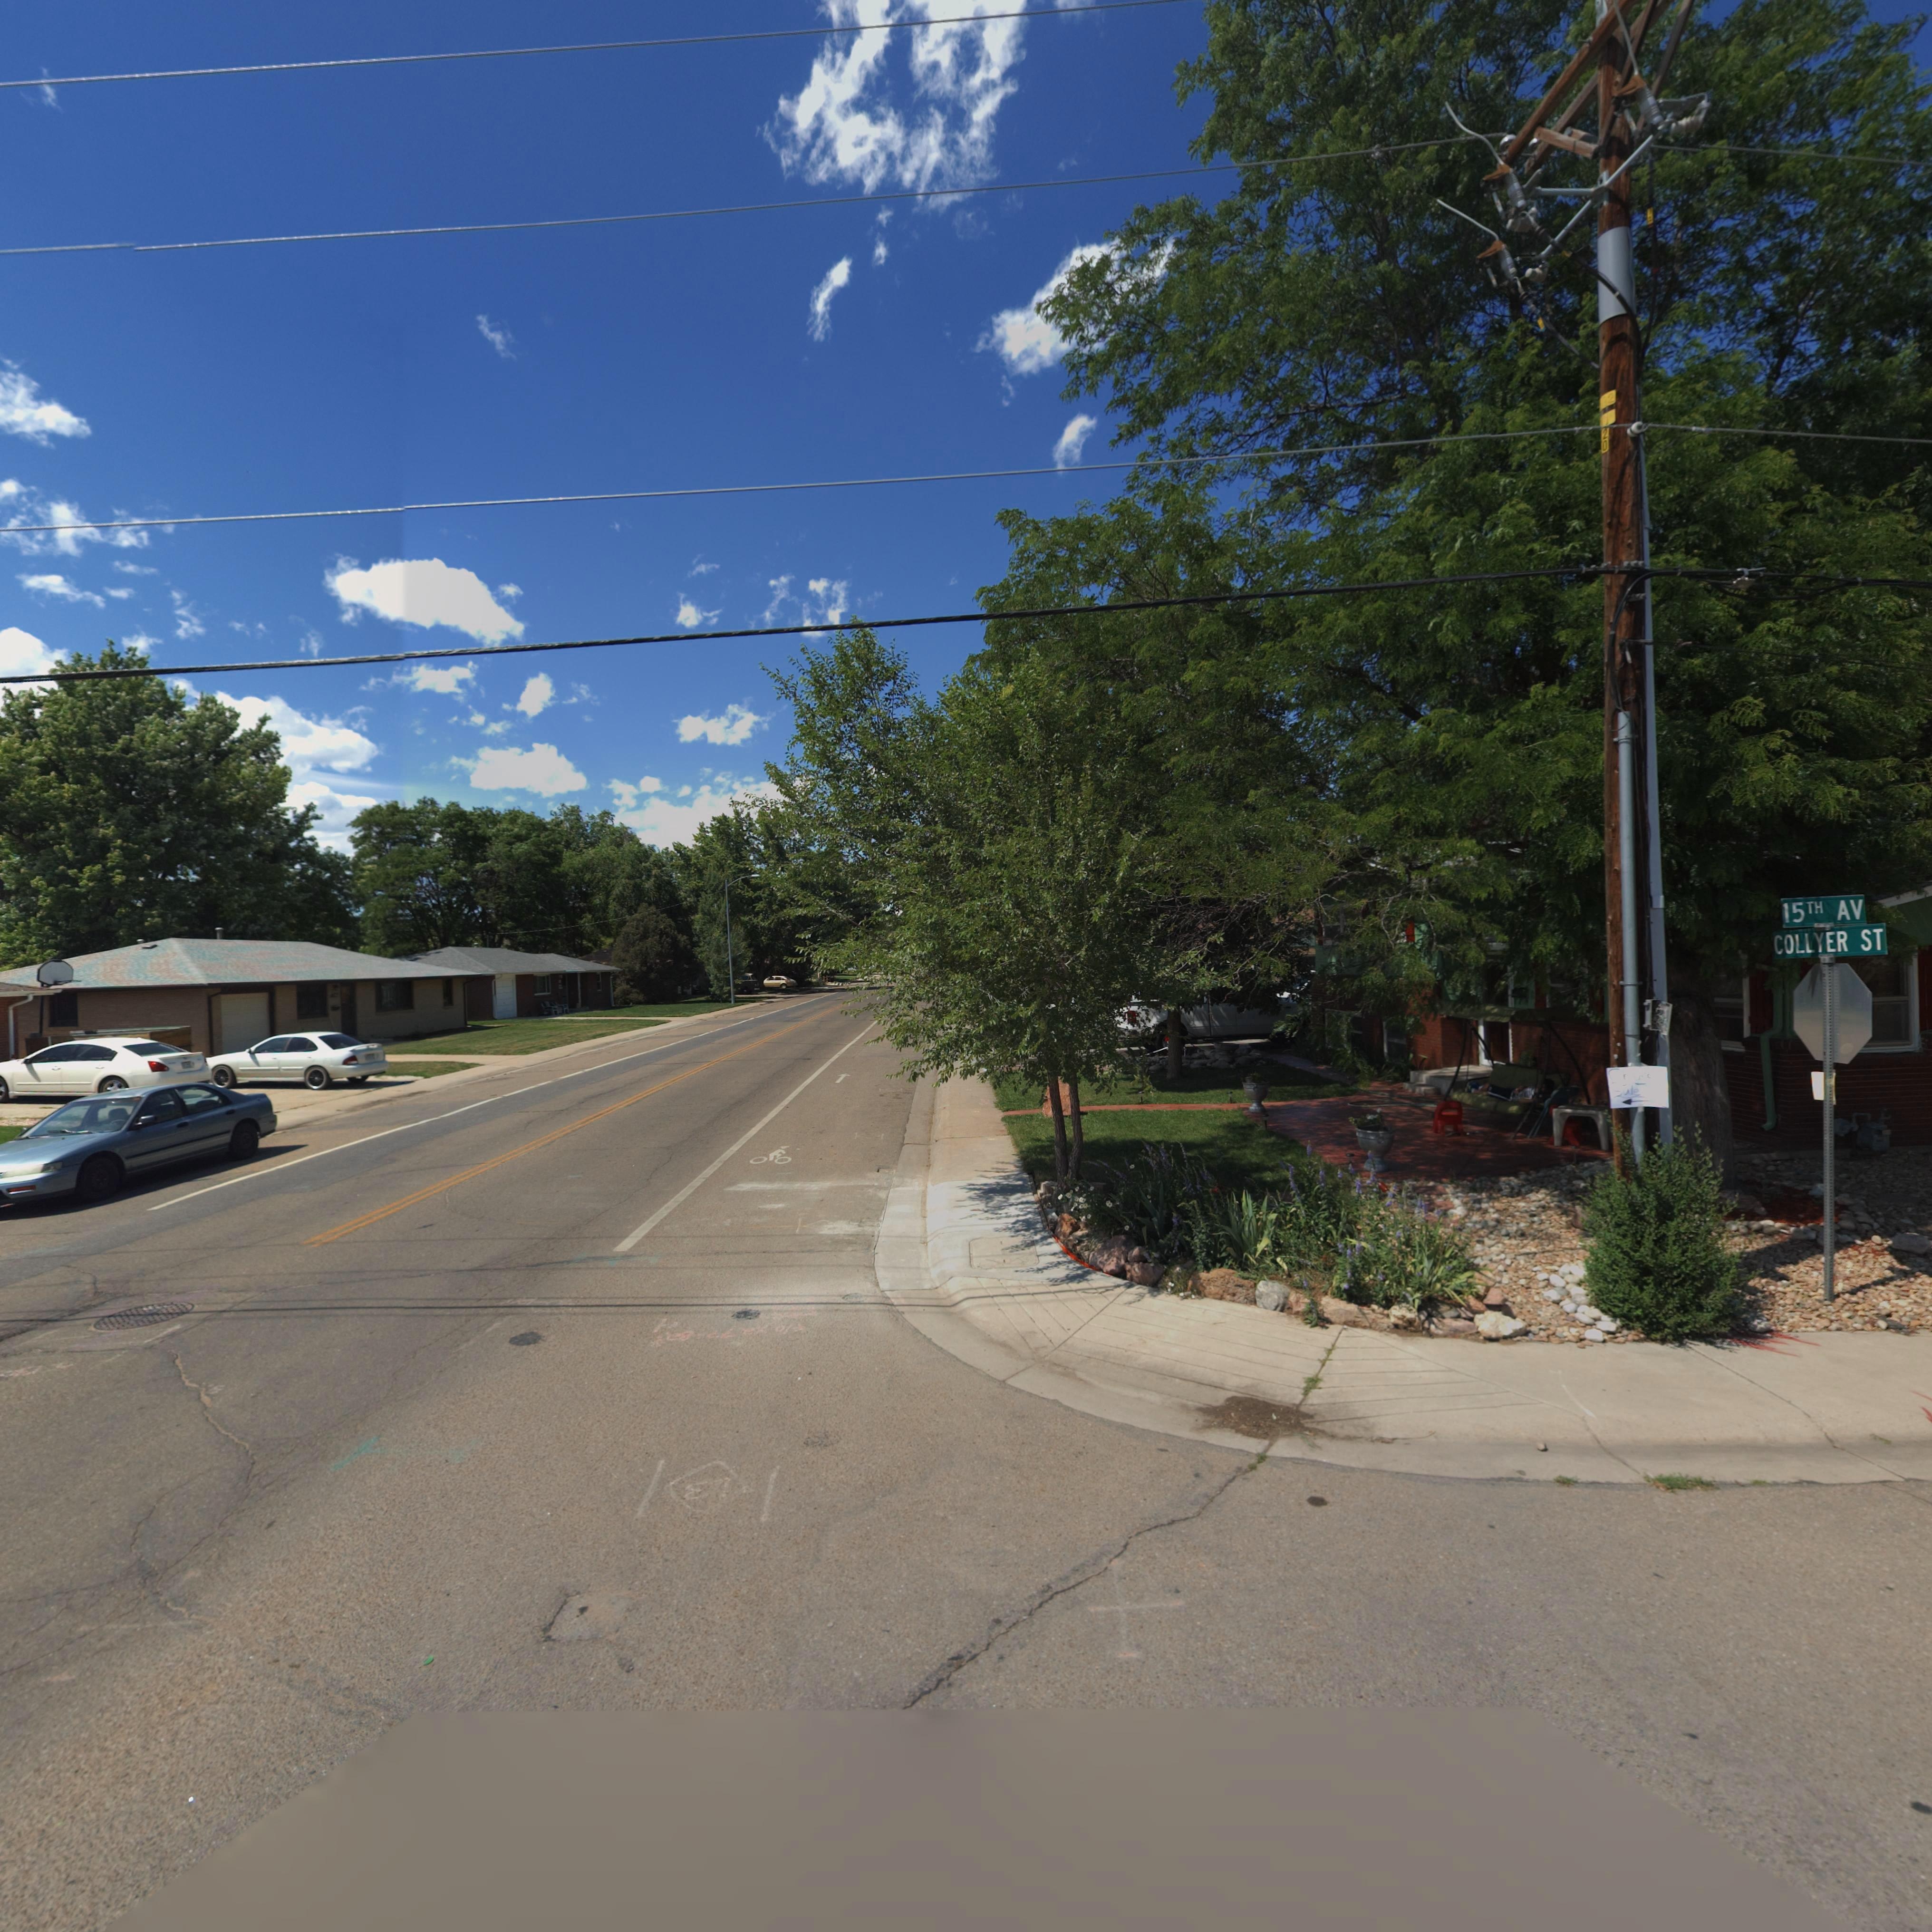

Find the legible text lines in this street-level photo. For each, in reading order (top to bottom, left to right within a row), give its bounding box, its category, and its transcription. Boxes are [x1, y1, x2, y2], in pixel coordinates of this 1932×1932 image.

[1781, 898, 1865, 924] StreetName: 15TH AV
[1773, 928, 1884, 955] StreetName: COLLYER ST